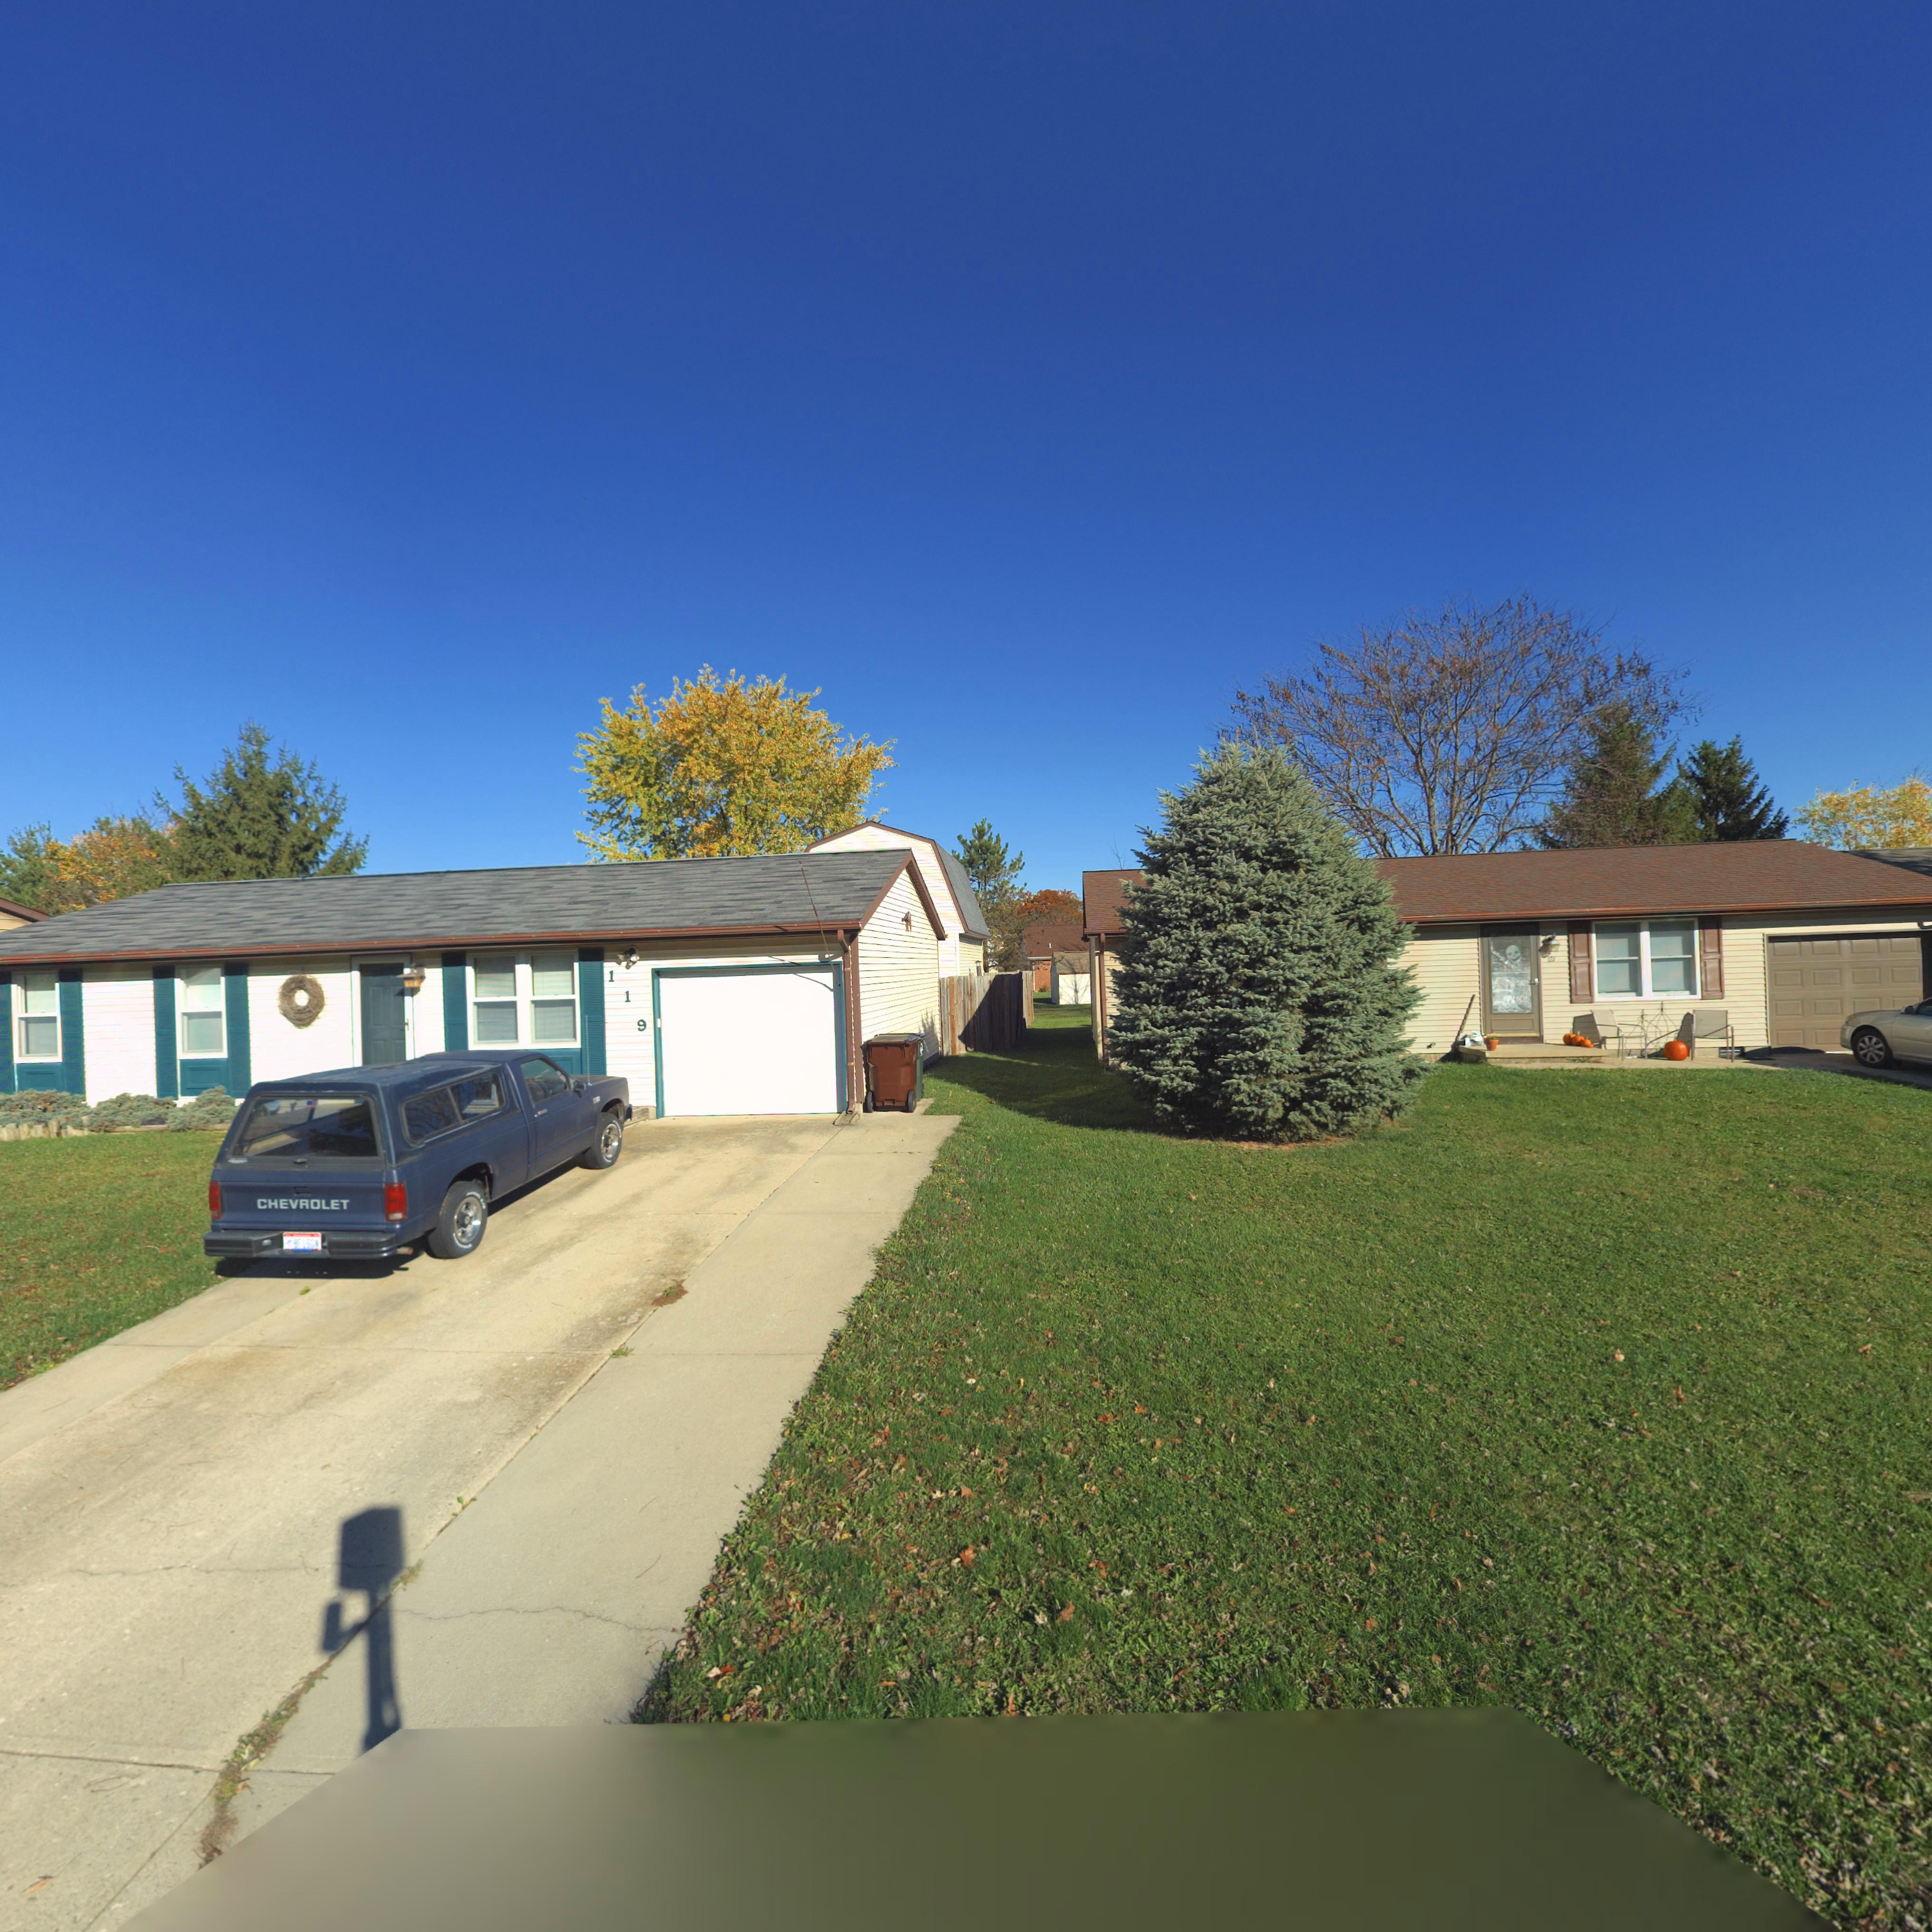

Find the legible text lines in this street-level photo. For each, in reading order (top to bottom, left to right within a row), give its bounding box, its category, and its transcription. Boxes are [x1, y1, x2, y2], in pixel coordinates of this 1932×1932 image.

[1547, 956, 1556, 963] StreetNumber: 121
[608, 969, 647, 1032] StreetNumber: 119